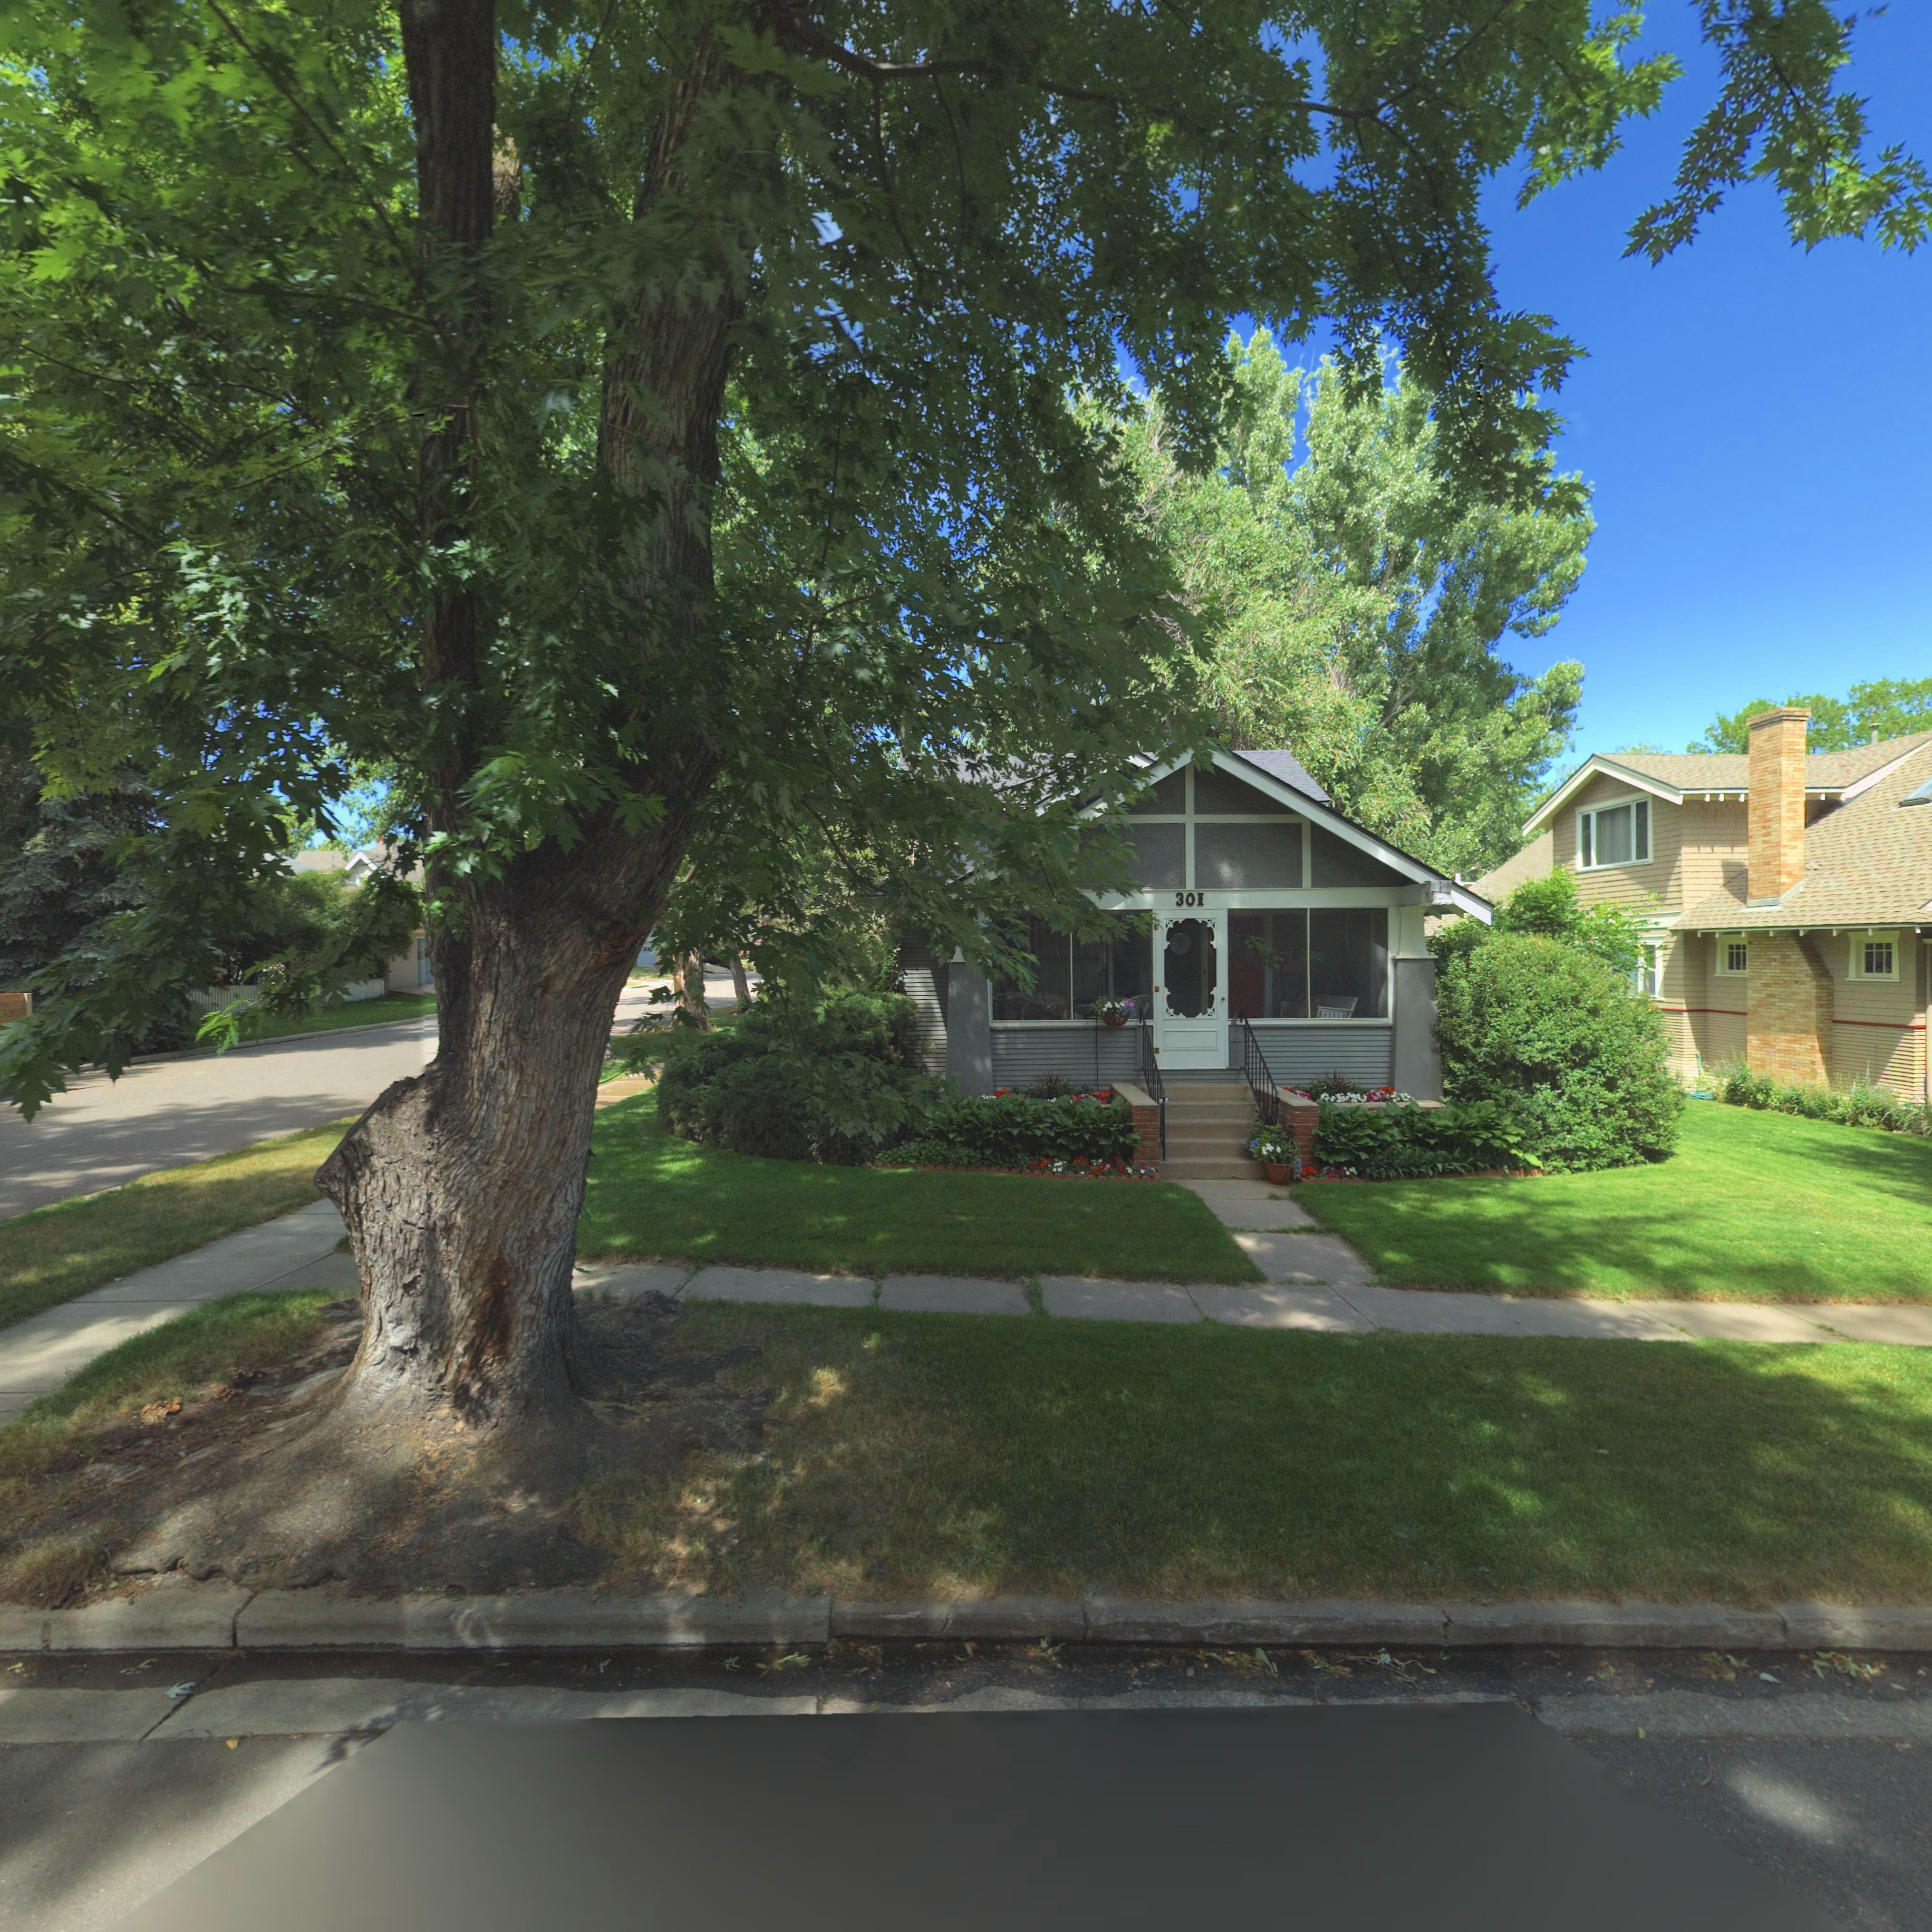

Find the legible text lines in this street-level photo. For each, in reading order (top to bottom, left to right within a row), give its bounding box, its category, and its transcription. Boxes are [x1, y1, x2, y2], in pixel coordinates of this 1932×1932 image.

[1175, 892, 1204, 906] StreetNumber: 30I